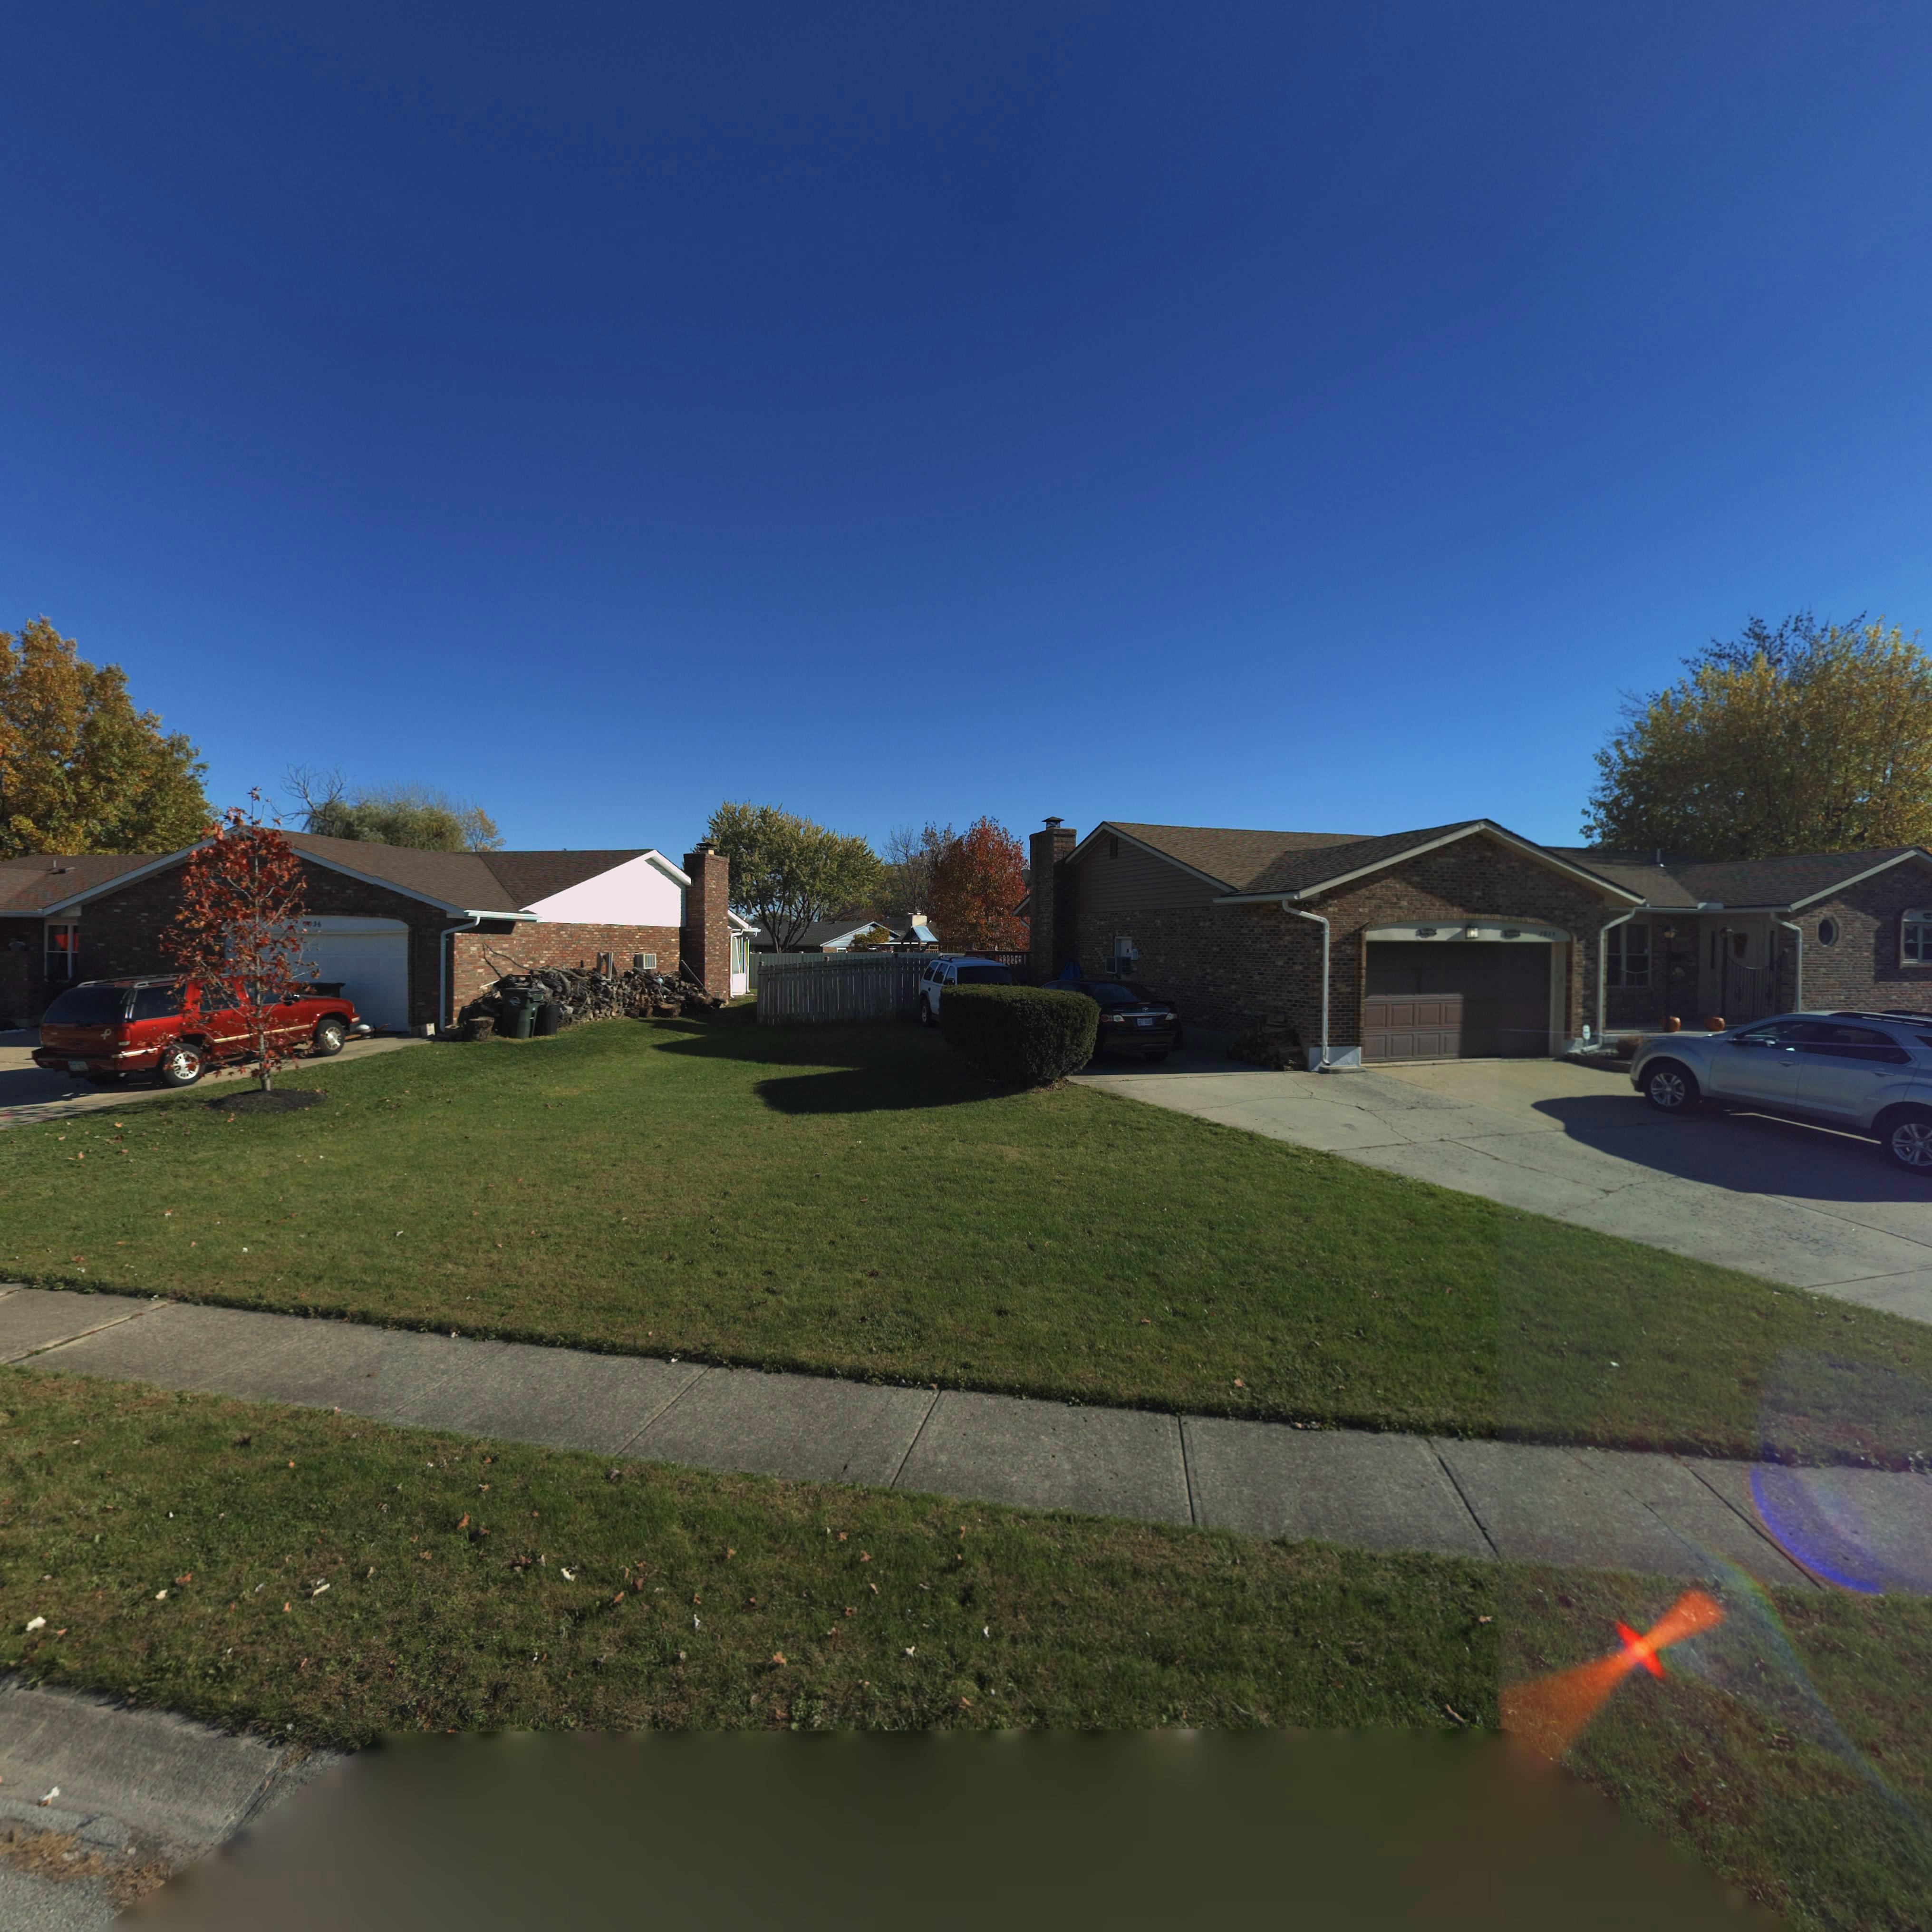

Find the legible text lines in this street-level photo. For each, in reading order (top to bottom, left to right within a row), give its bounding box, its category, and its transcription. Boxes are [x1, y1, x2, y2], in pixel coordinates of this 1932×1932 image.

[312, 920, 322, 927] StreetNumber: 36
[1538, 930, 1556, 937] StreetNumber: 7034